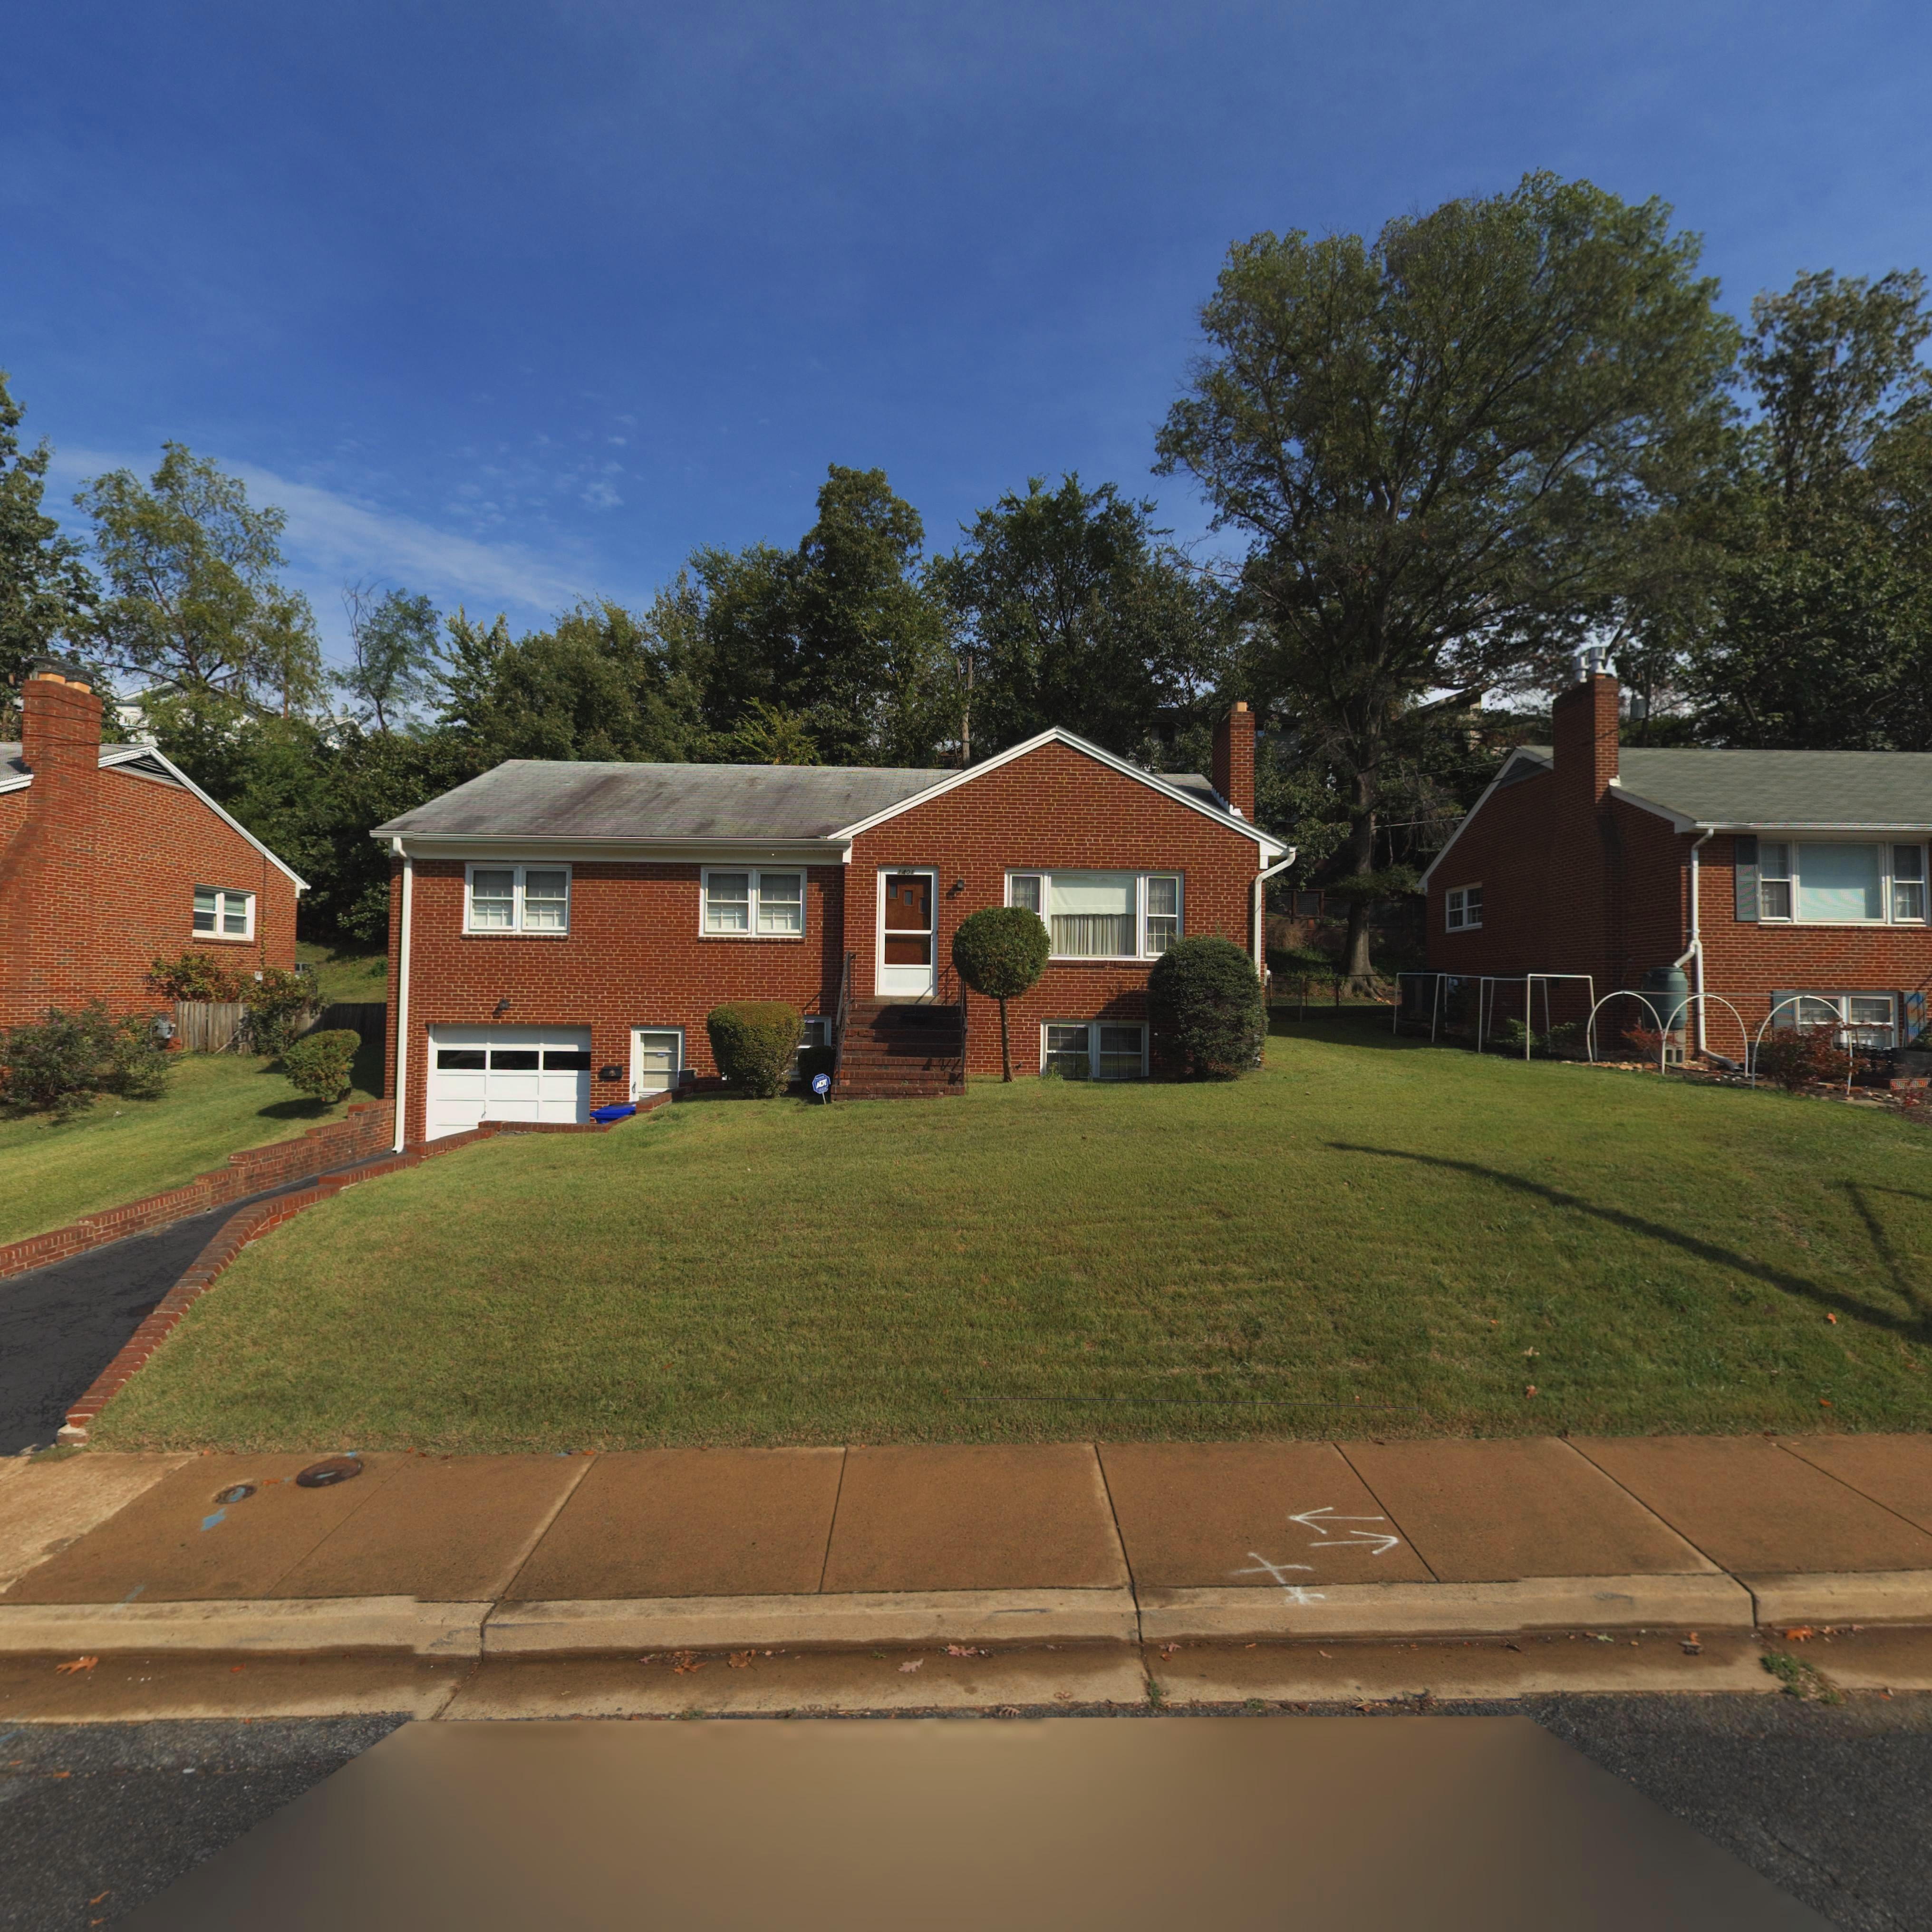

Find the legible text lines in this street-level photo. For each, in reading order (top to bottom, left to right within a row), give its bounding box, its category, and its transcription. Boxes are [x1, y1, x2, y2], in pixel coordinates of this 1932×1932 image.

[897, 869, 915, 875] StreetNumber: 1401
[816, 1078, 828, 1090] None: ADT